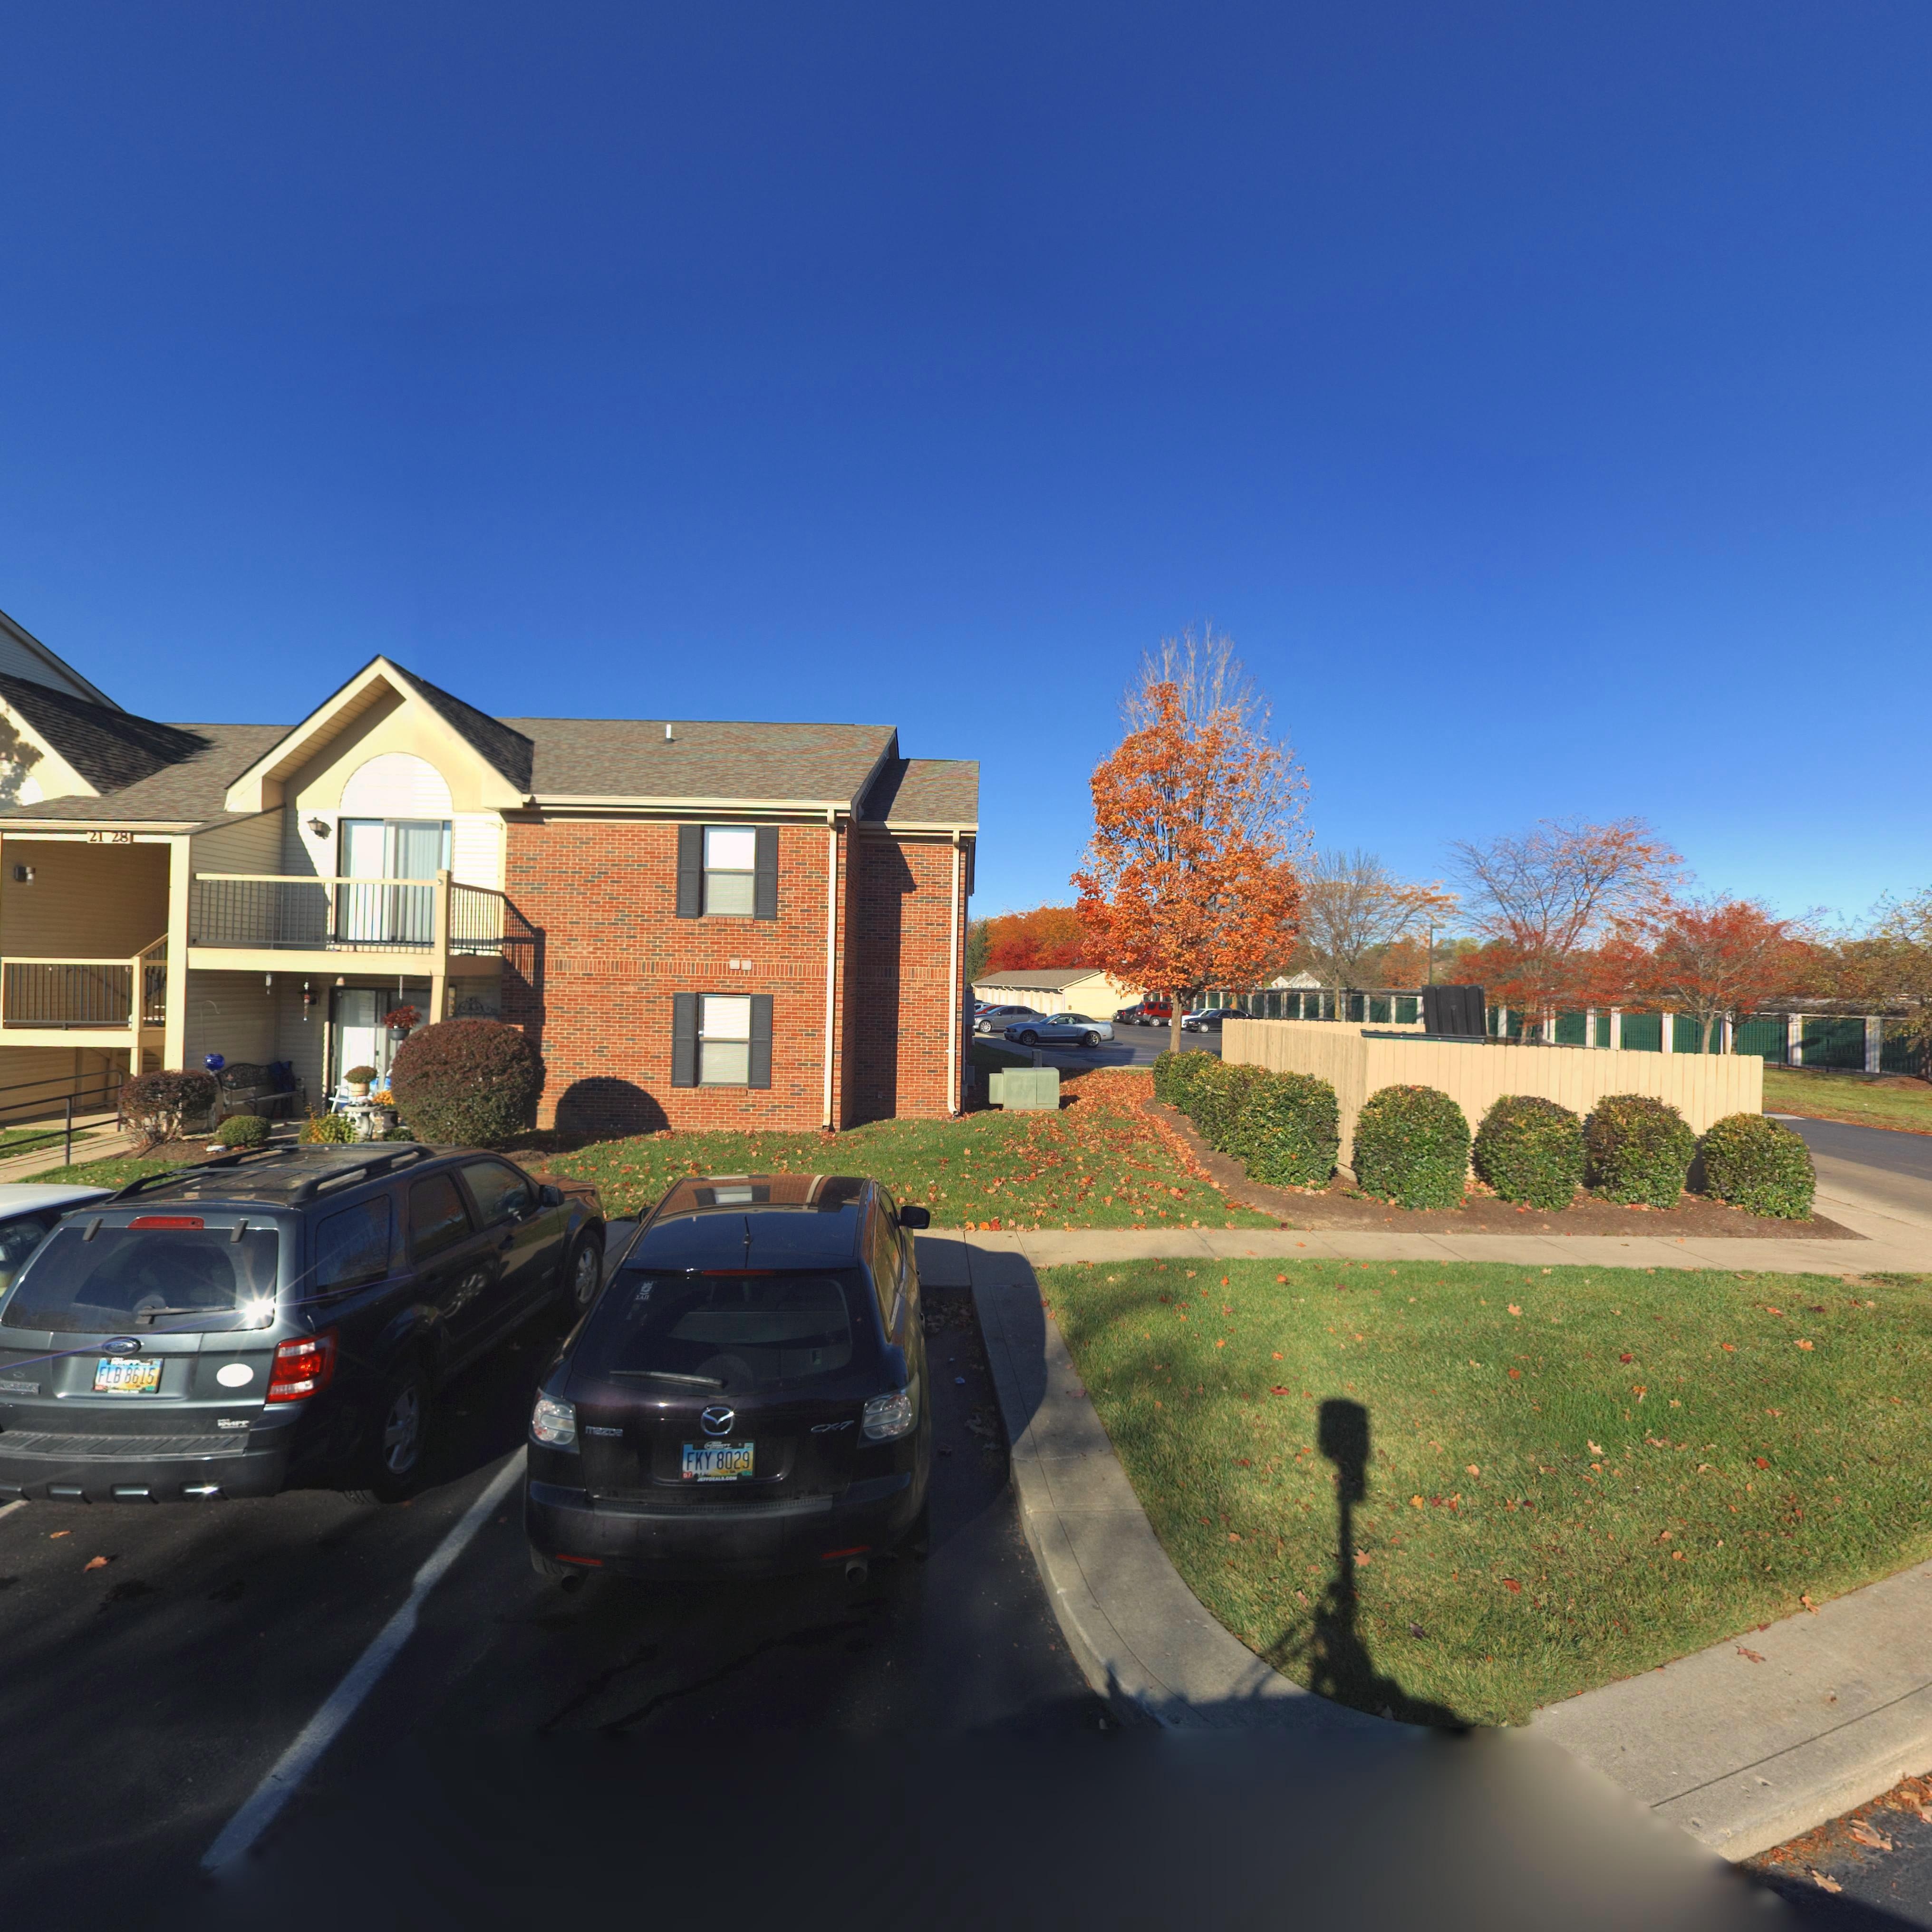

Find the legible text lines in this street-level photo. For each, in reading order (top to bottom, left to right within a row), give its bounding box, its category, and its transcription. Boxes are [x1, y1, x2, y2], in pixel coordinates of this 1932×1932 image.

[87, 830, 128, 842] StreetNumber: 21 28